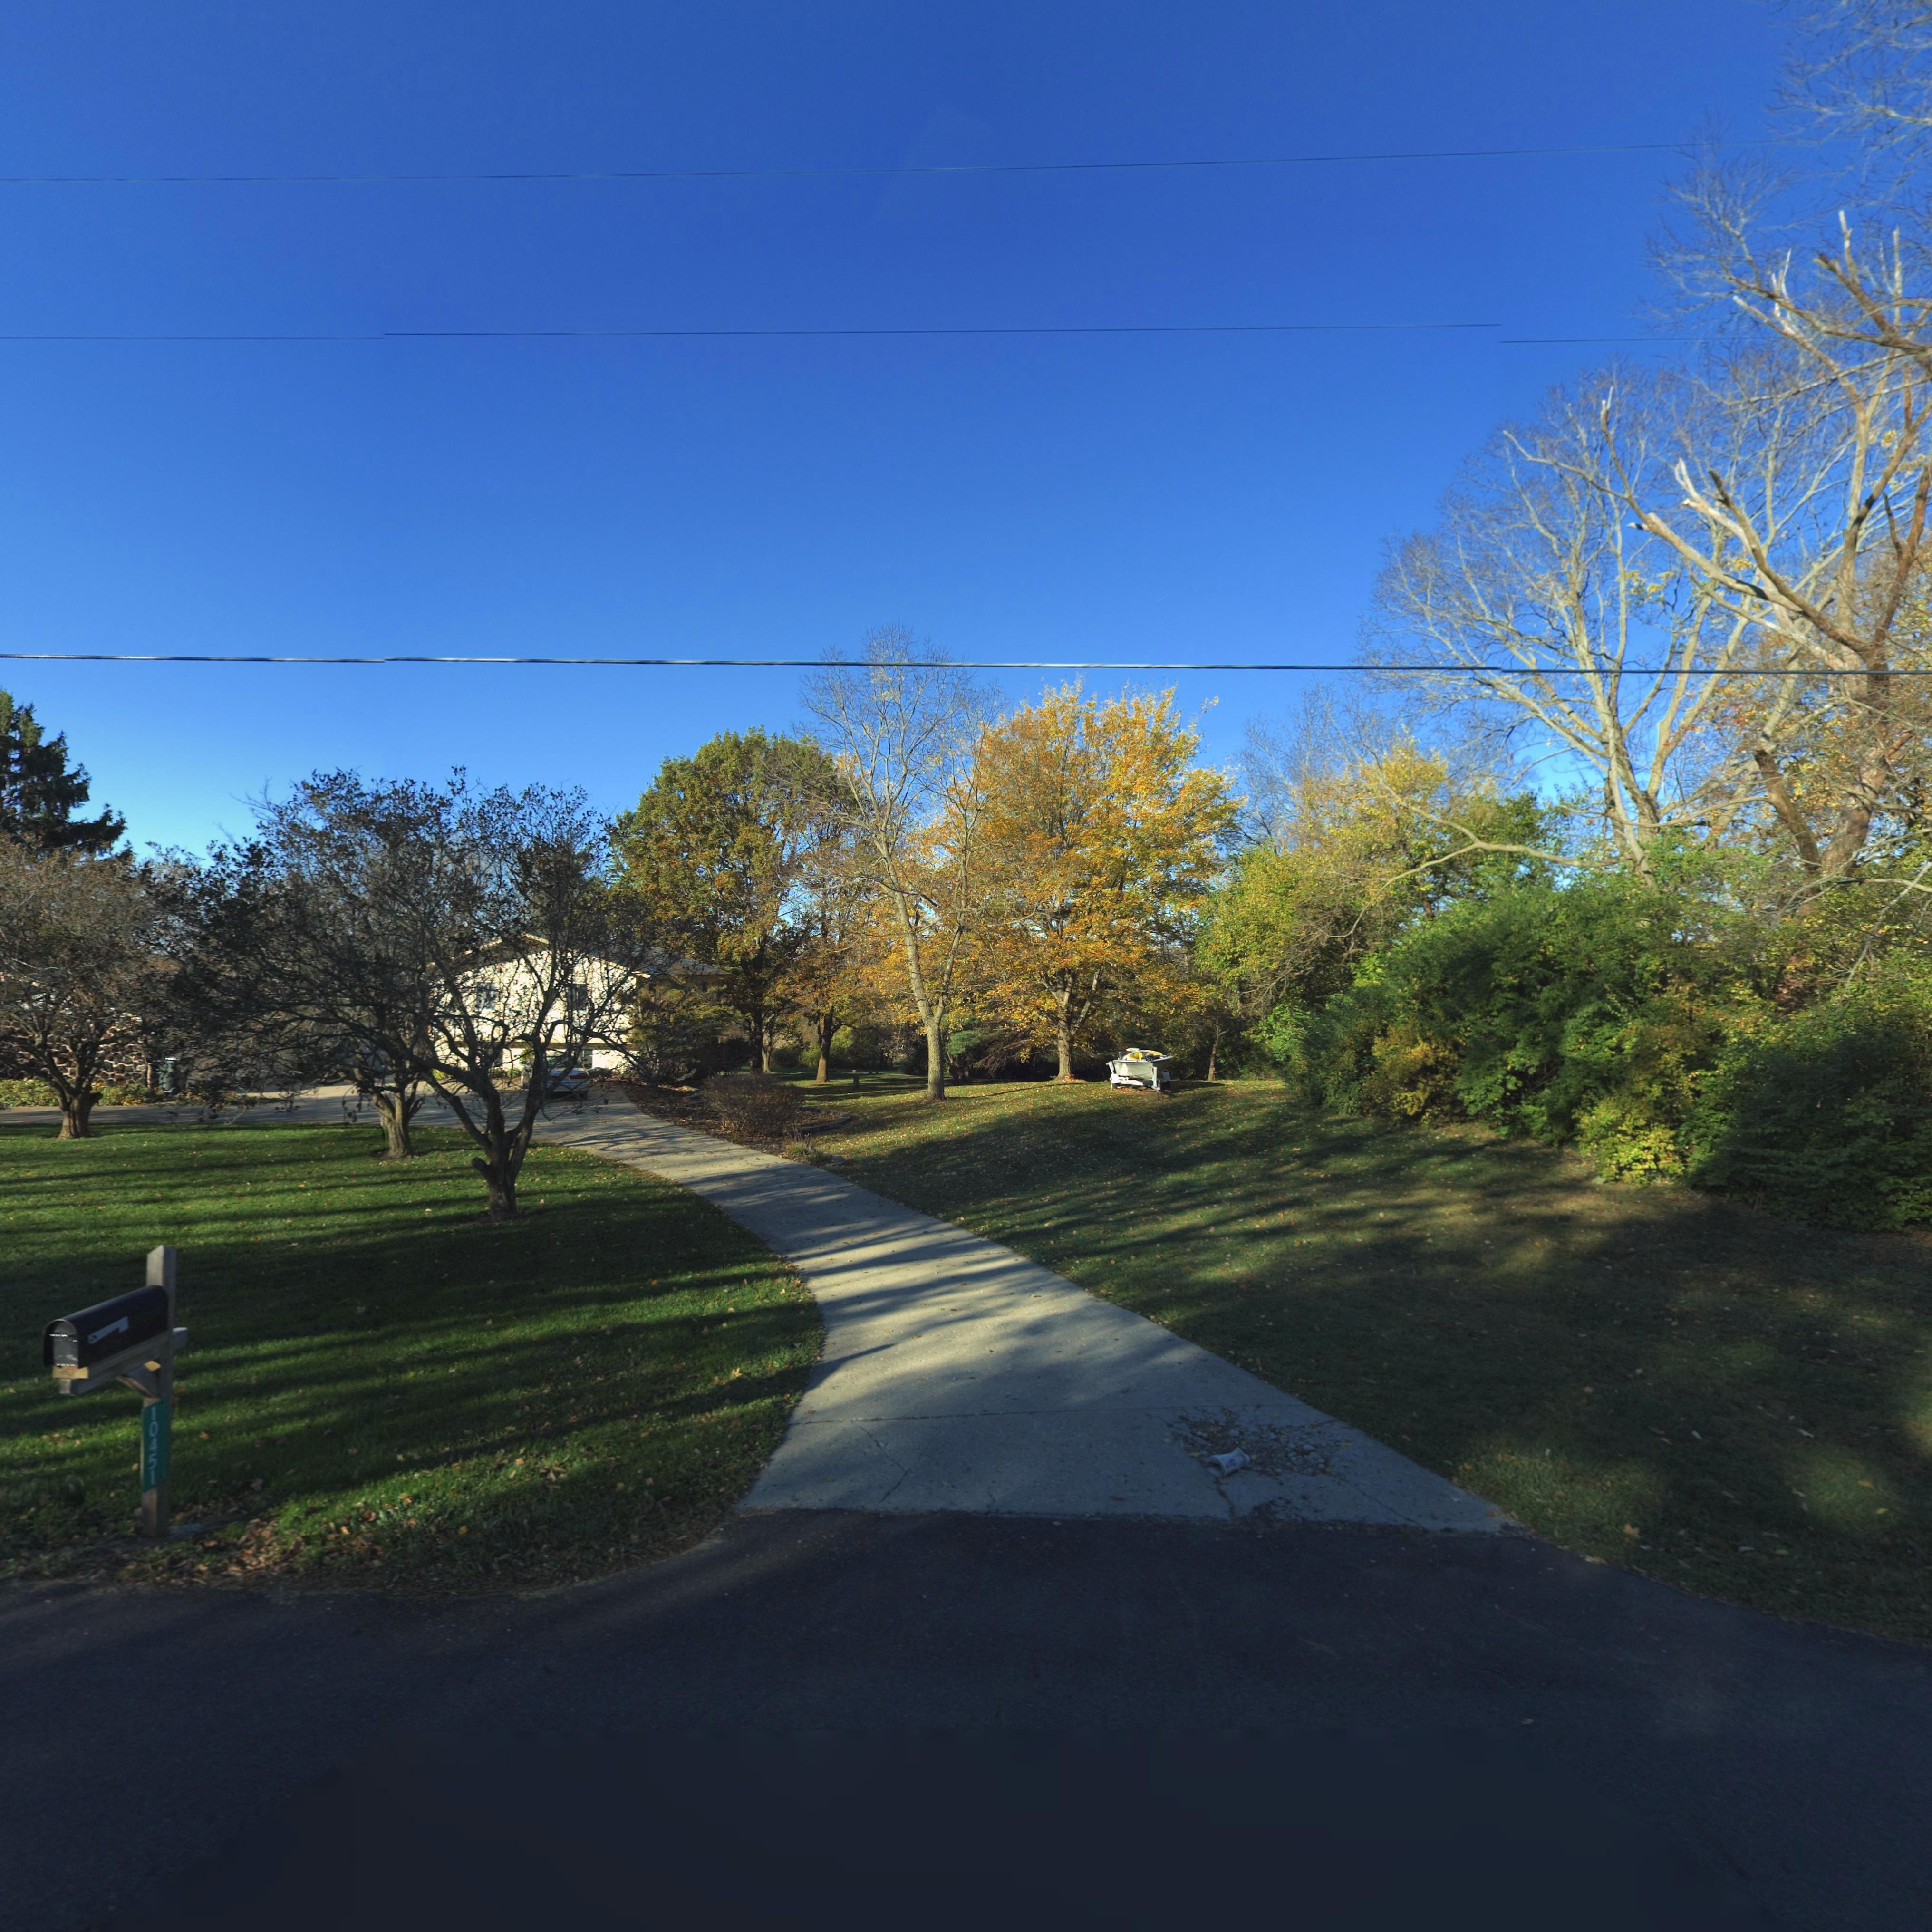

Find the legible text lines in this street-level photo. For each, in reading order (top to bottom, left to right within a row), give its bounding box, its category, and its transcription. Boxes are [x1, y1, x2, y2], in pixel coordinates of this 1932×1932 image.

[147, 1403, 160, 1487] StreetNumber: 10451